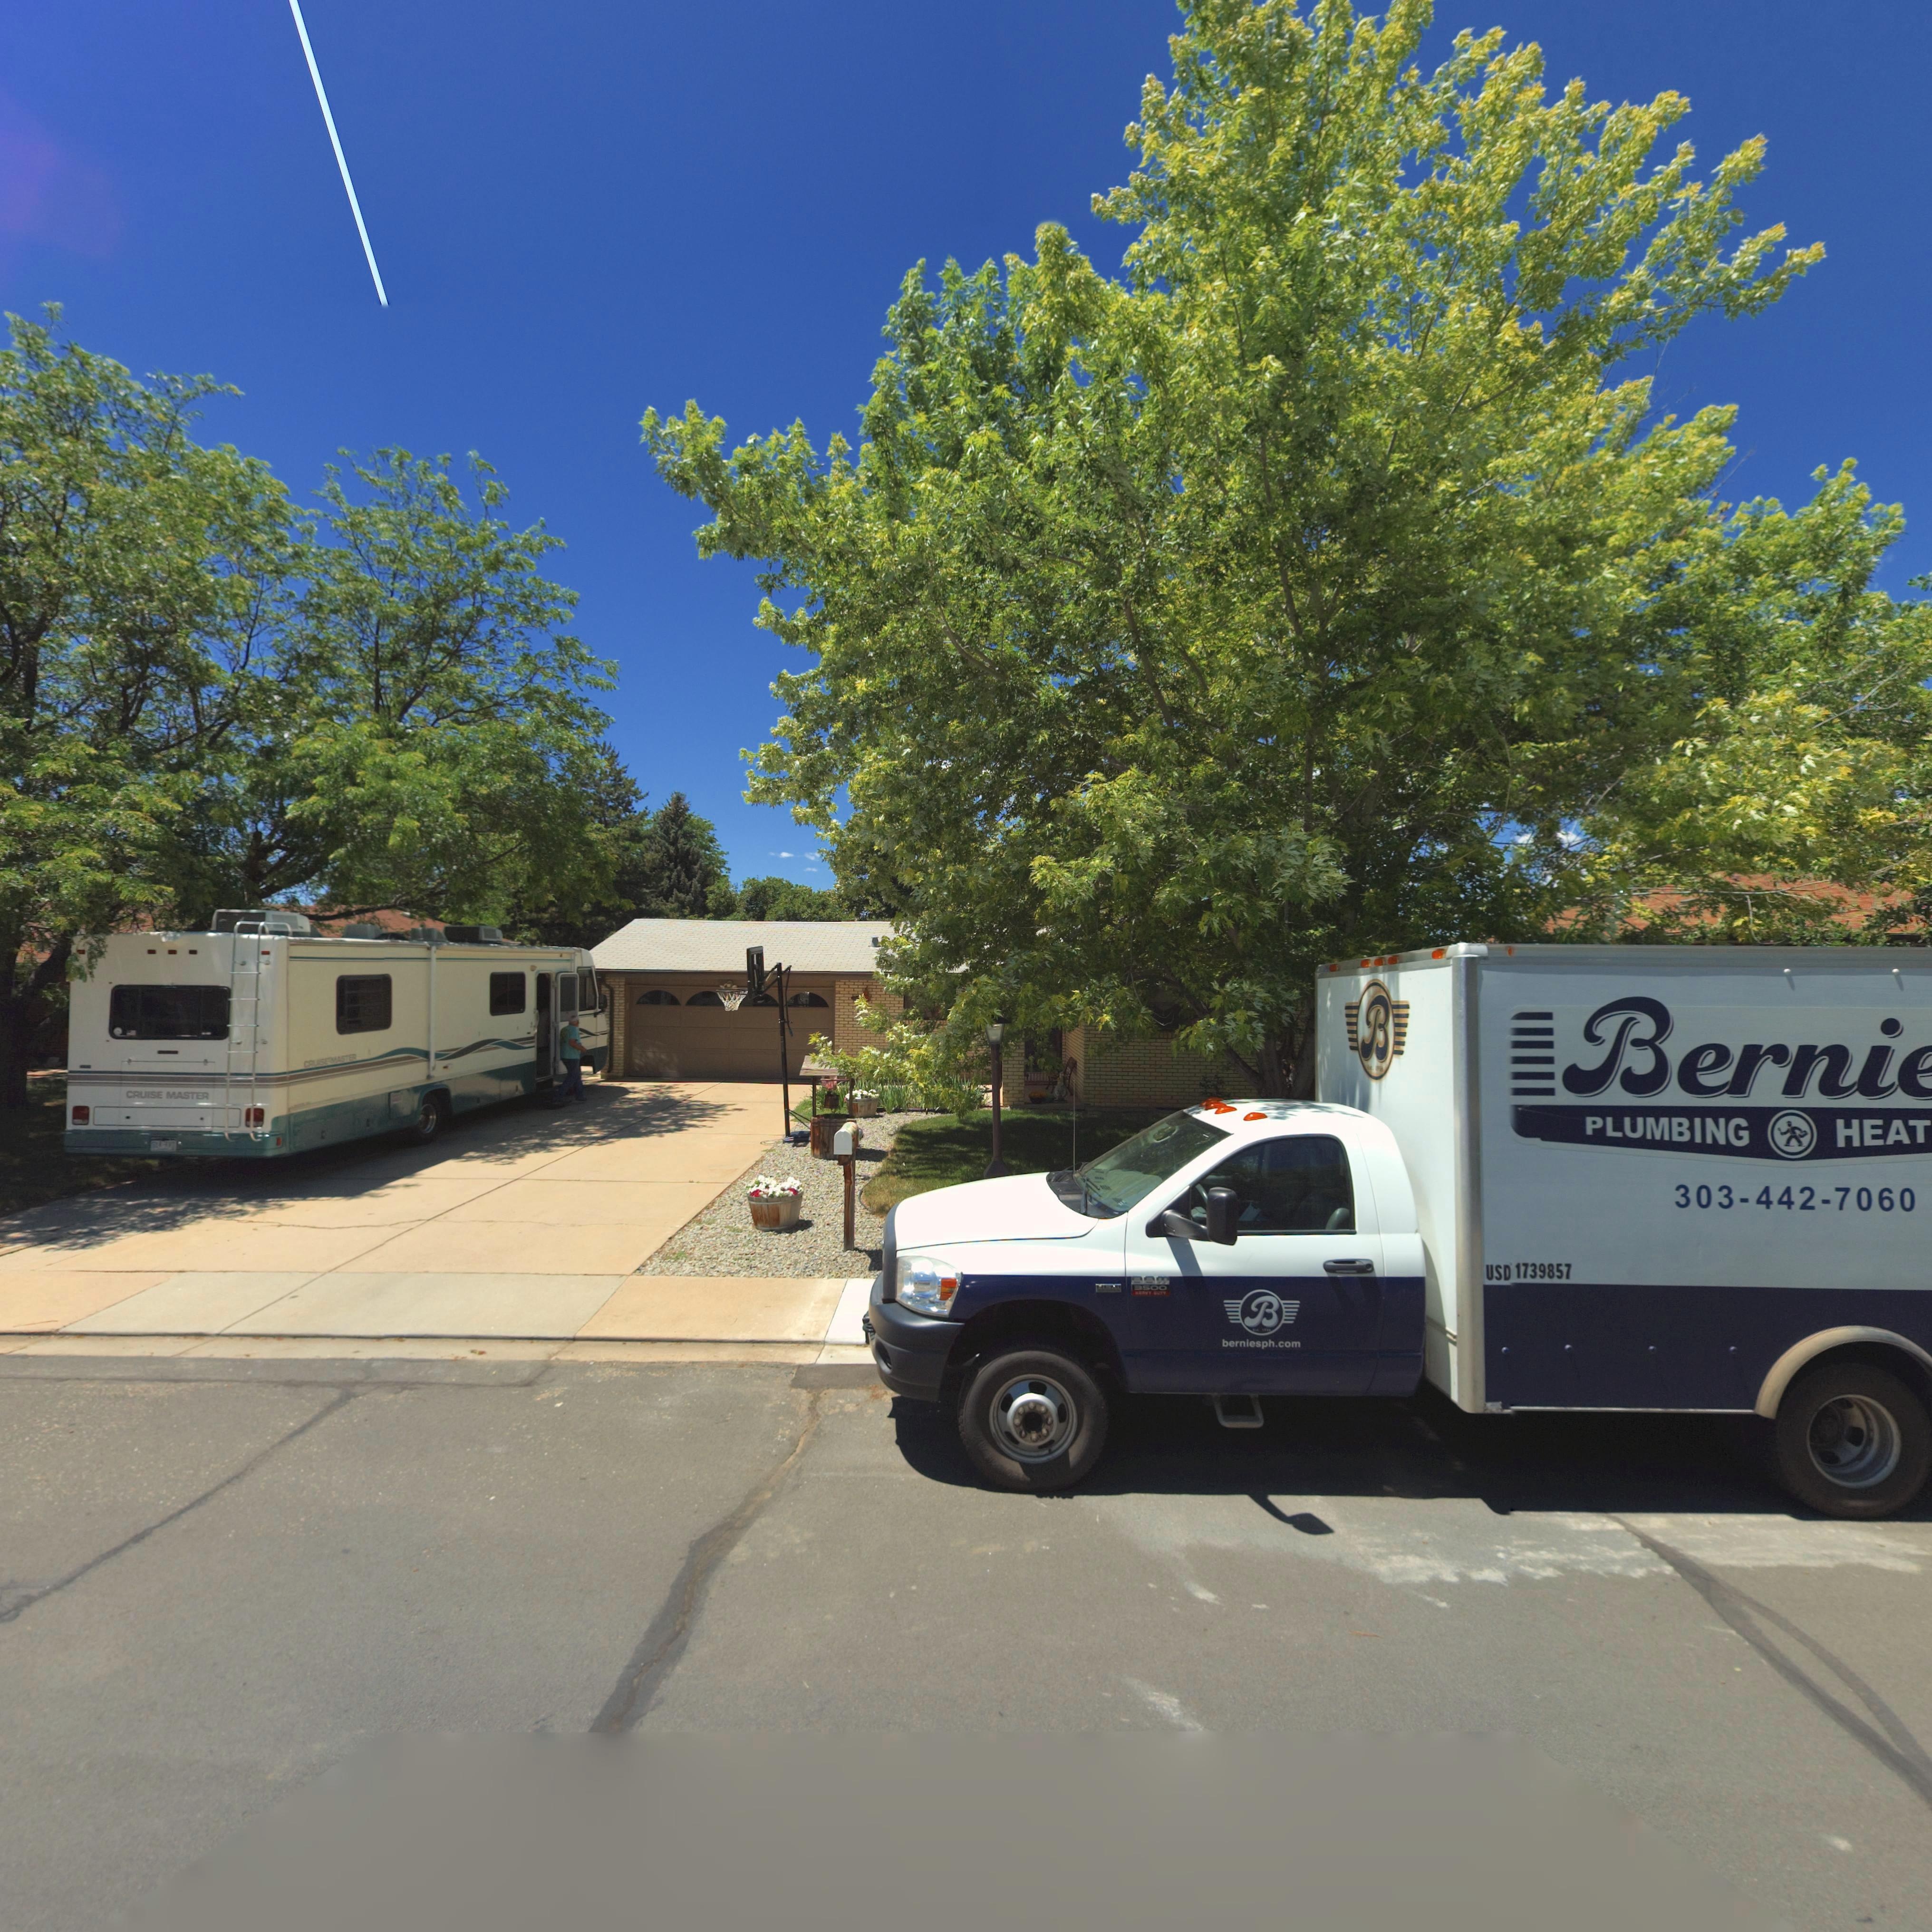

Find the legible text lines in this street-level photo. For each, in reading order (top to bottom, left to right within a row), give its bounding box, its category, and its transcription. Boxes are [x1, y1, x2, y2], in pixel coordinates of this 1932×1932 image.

[1674, 1184, 1915, 1212] PhoneNumber: 303- 442-7060